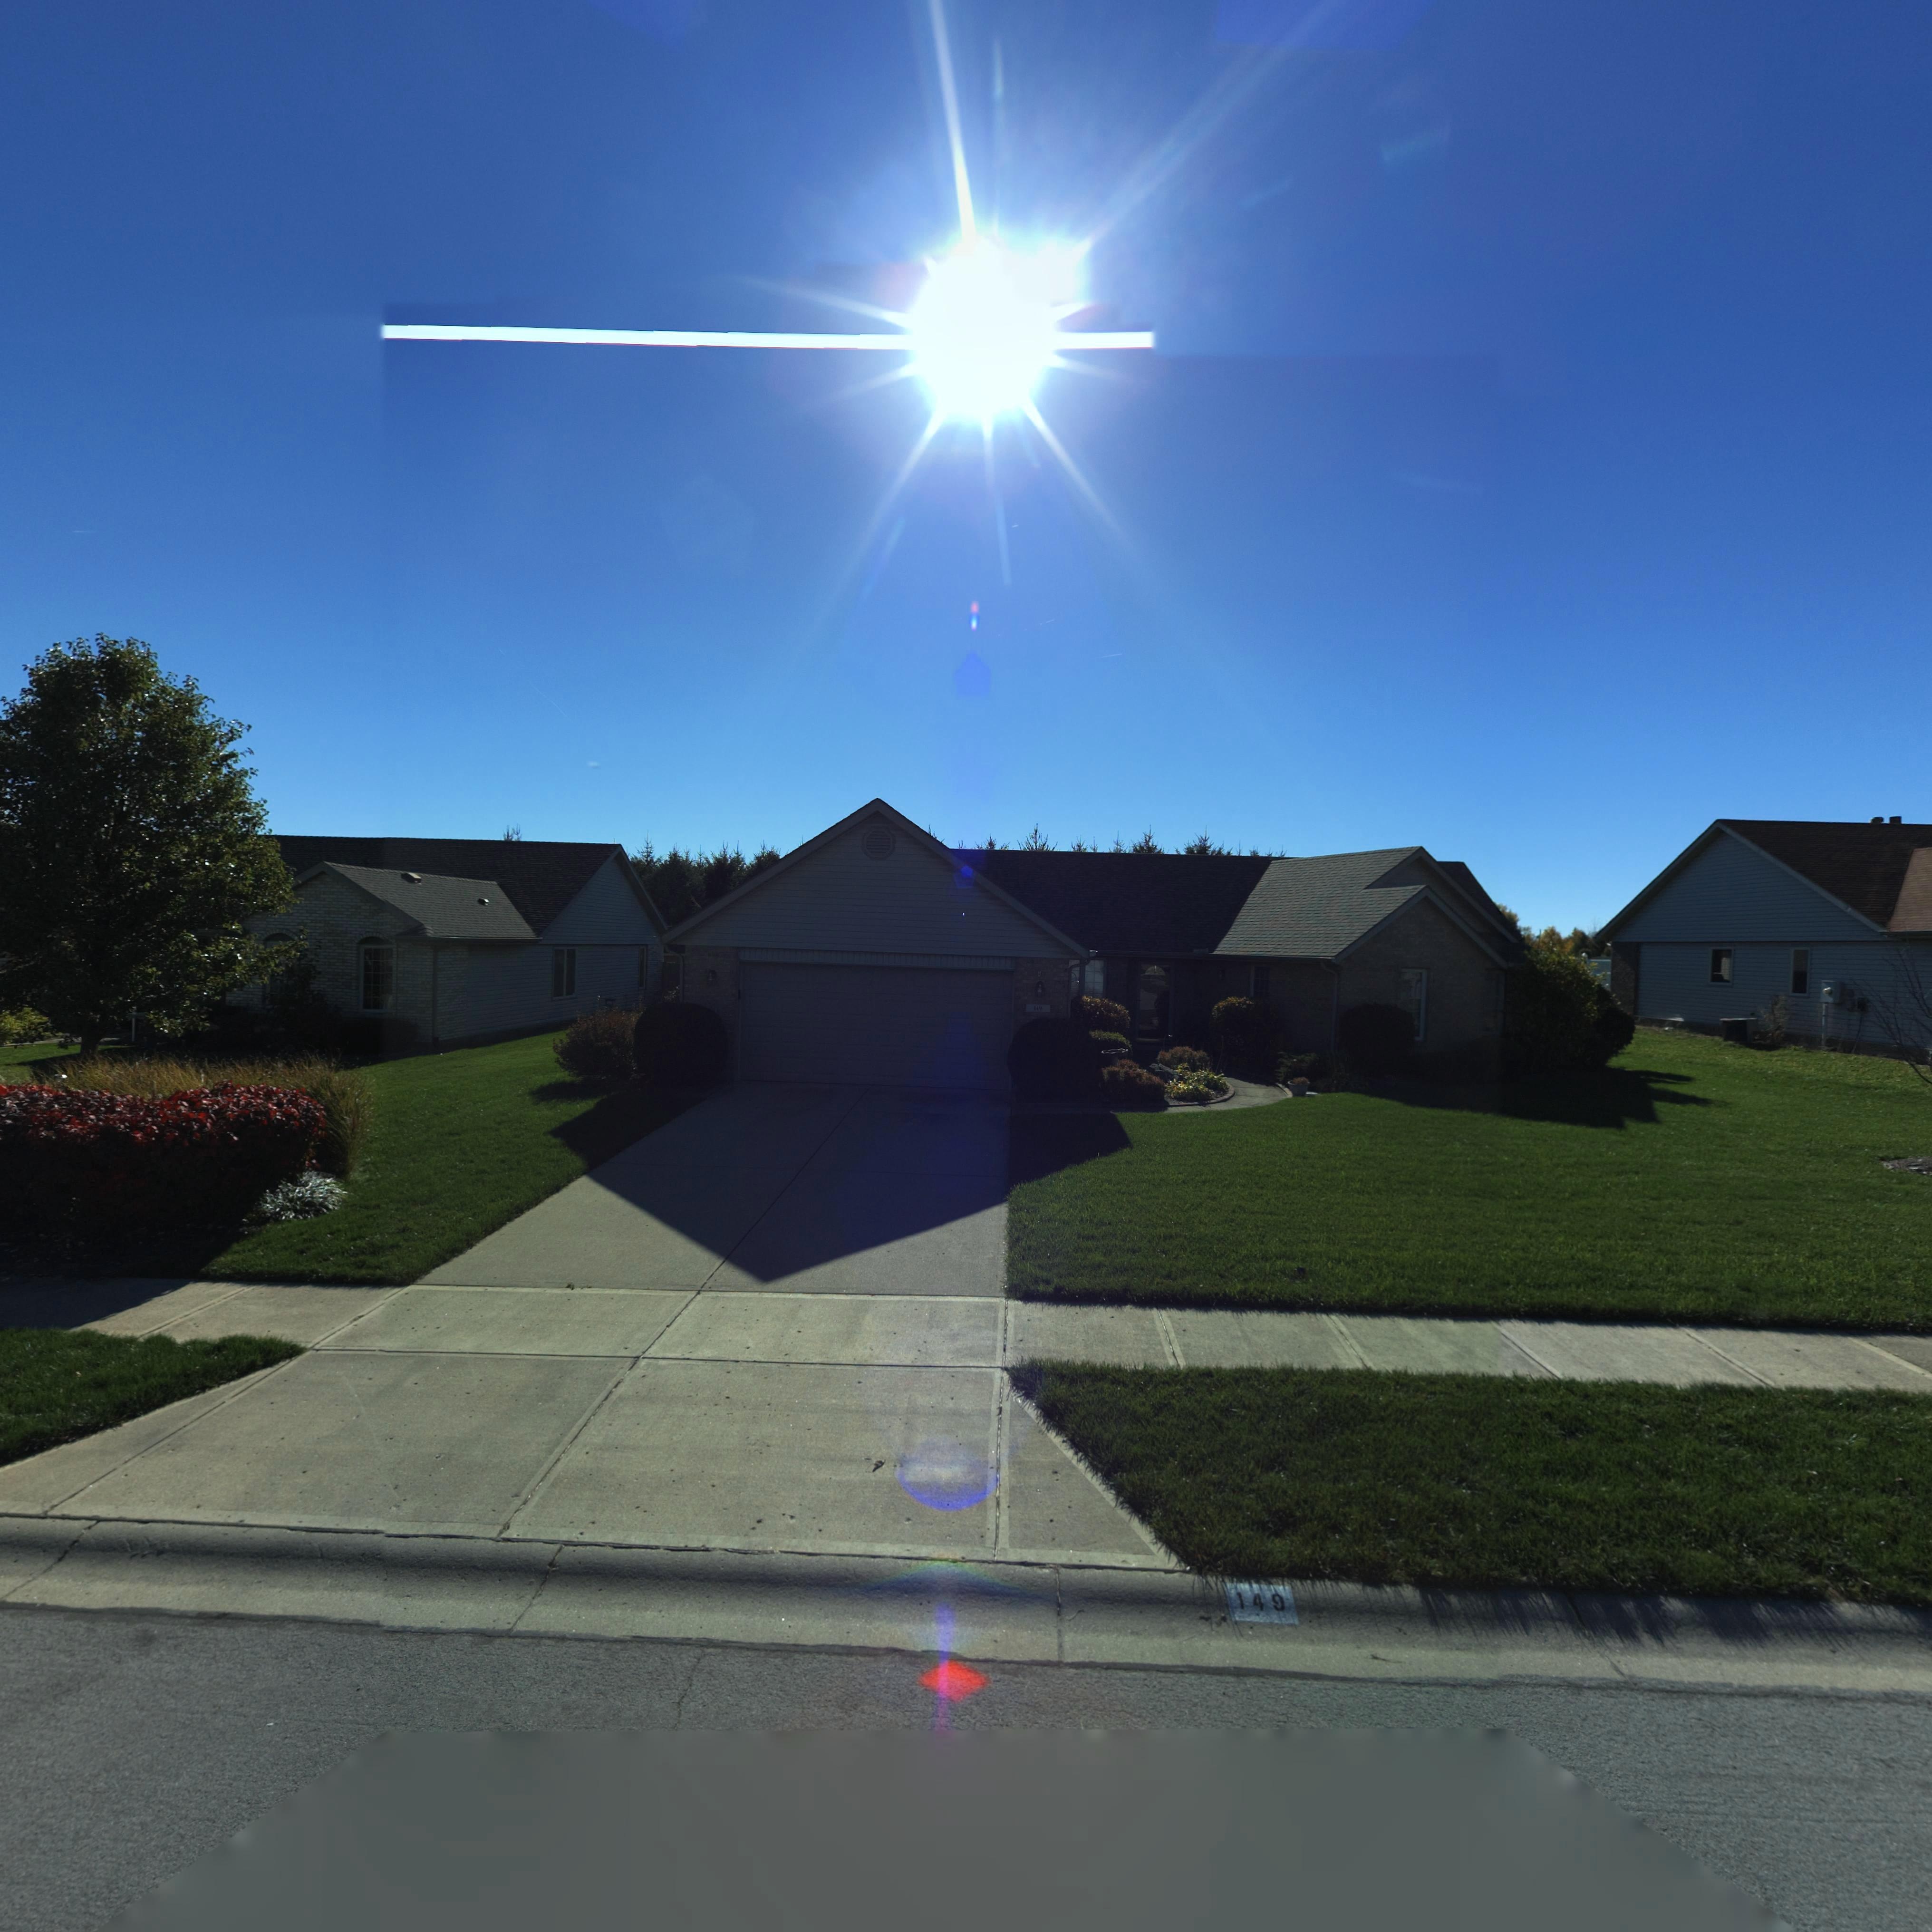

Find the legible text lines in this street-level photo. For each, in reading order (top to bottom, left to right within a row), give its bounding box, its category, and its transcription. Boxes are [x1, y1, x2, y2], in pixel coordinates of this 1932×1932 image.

[1034, 1005, 1042, 1011] StreetNumber: 149
[1234, 1591, 1286, 1613] StreetNumber: 149